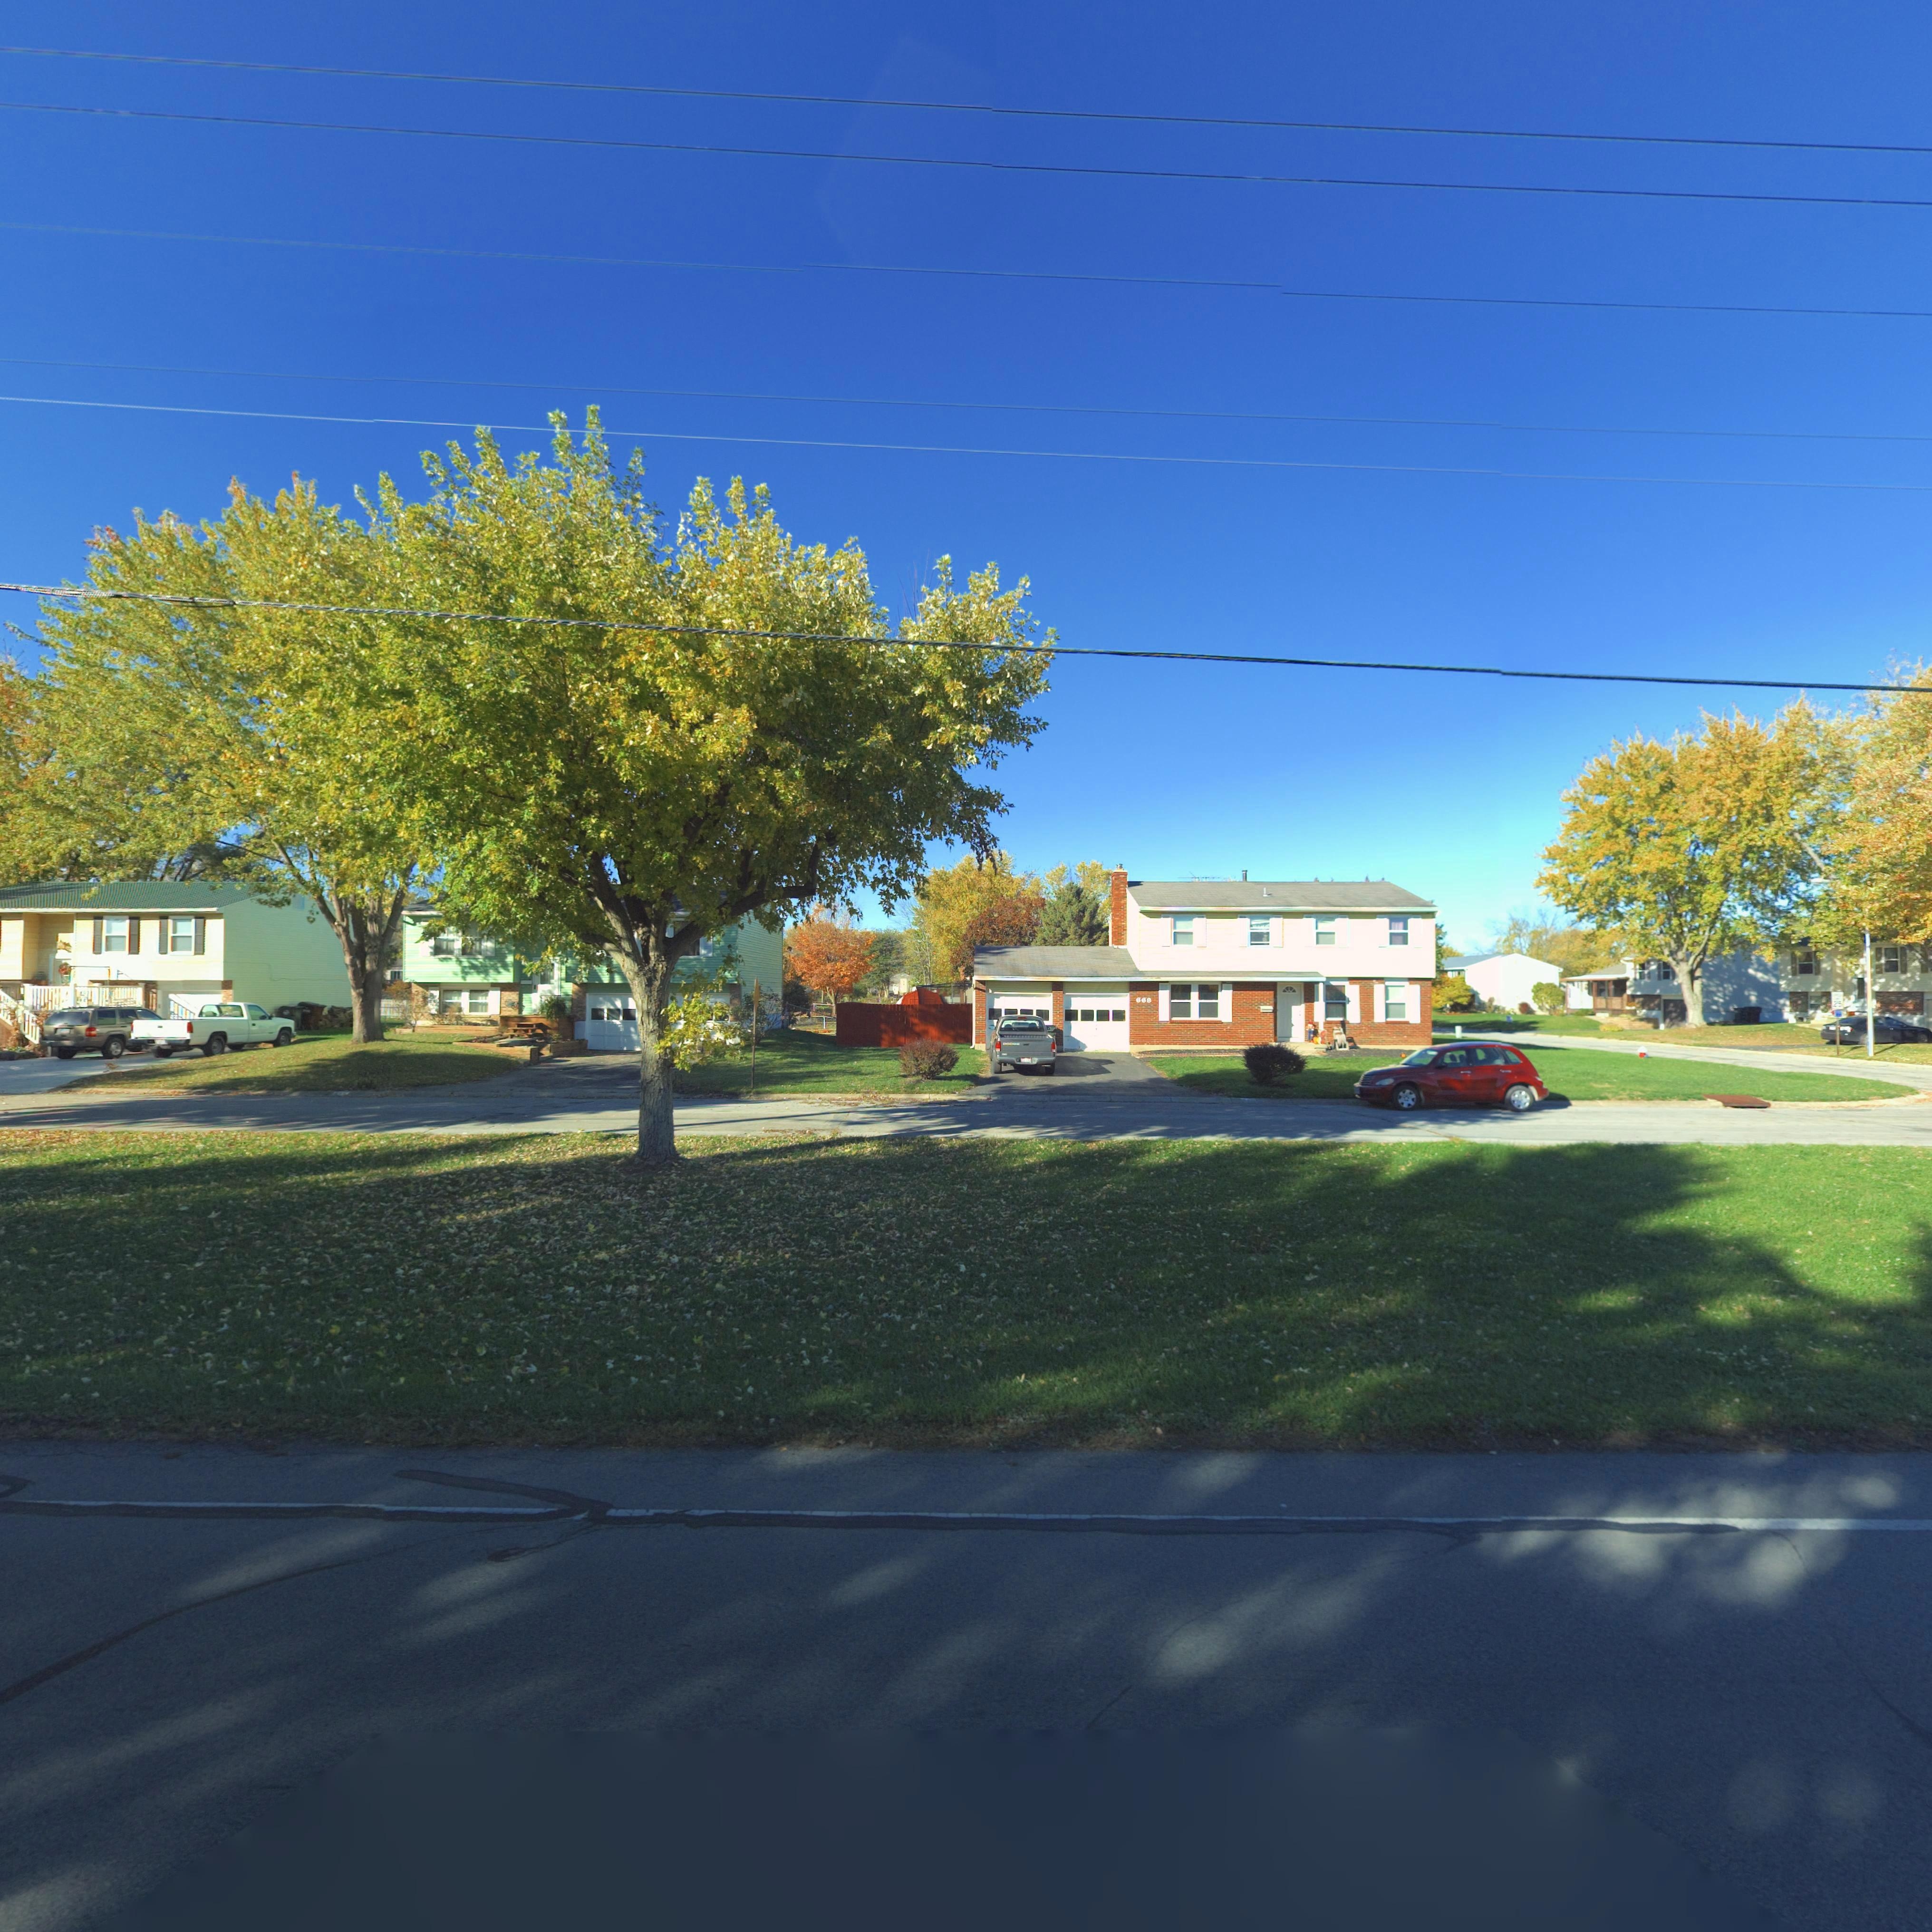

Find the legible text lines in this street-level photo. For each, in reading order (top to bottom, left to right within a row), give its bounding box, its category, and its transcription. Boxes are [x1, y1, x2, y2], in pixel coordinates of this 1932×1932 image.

[730, 993, 734, 999] StreetNumber: 6
[1135, 997, 1152, 1004] StreetNumber: 668